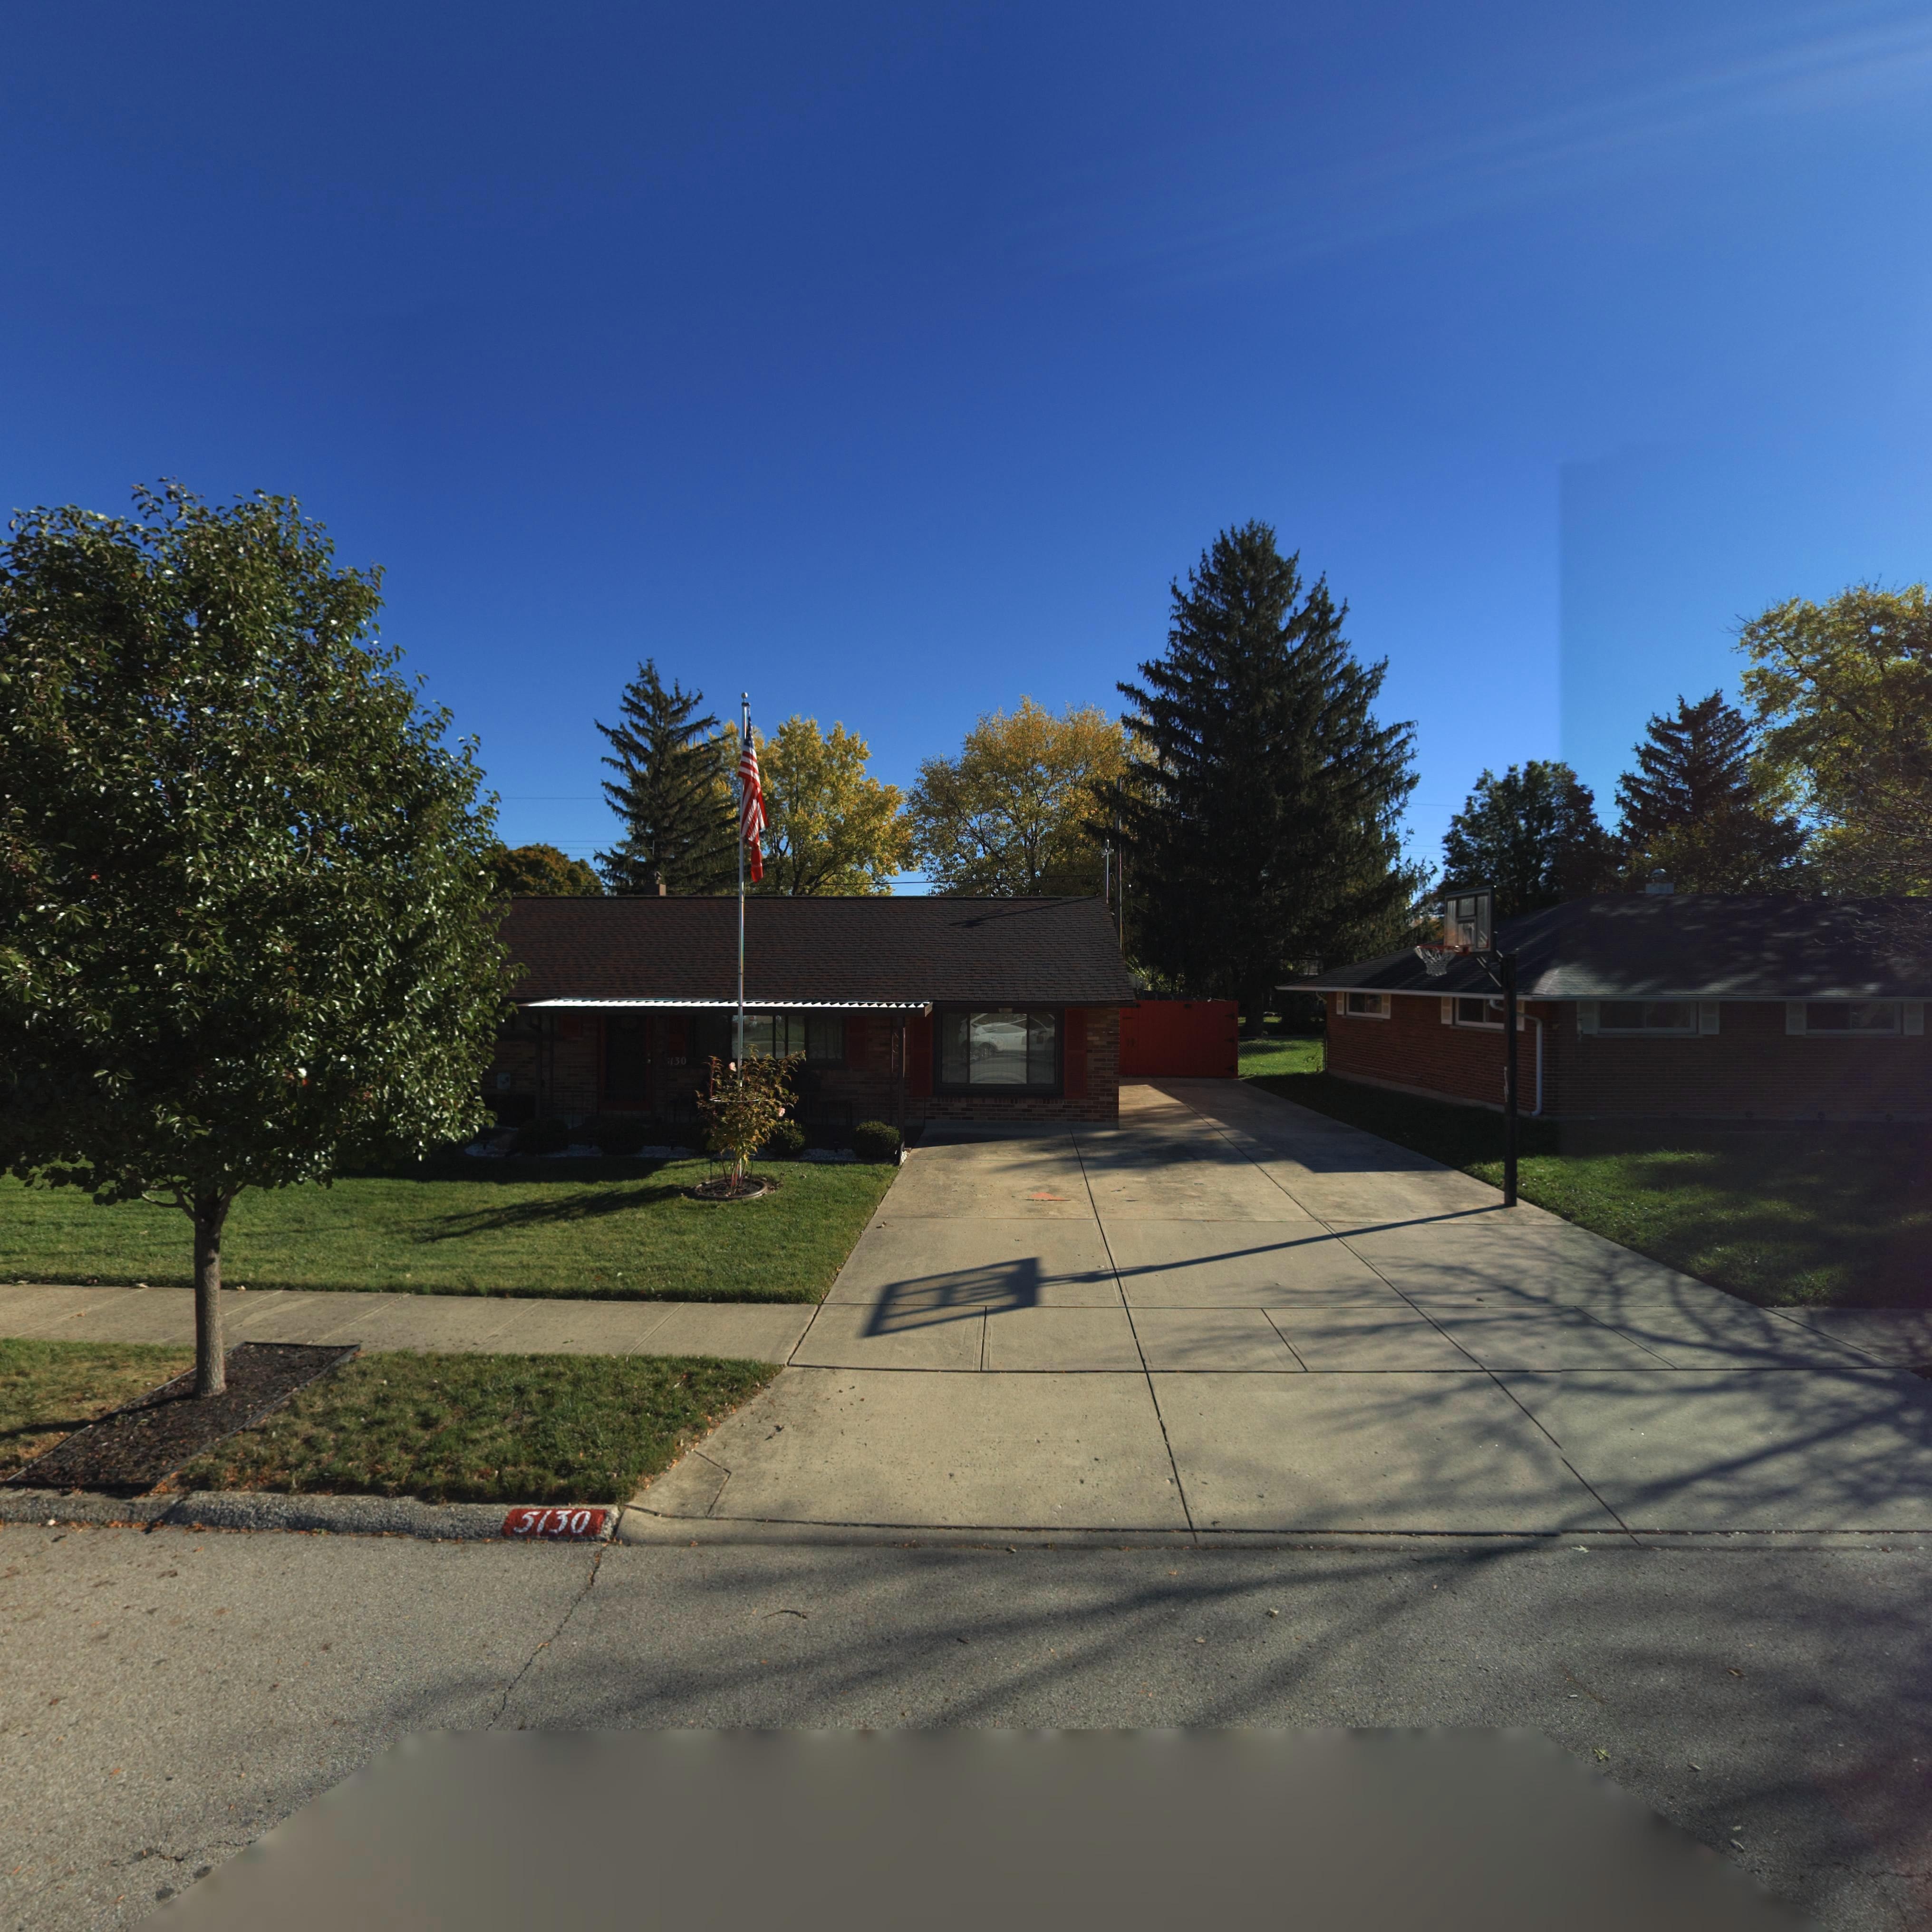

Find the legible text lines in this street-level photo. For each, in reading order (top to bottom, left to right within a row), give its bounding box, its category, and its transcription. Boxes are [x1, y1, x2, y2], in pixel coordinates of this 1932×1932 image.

[667, 1056, 687, 1065] StreetNumber: 130
[509, 1510, 598, 1535] StreetNumber: 5130